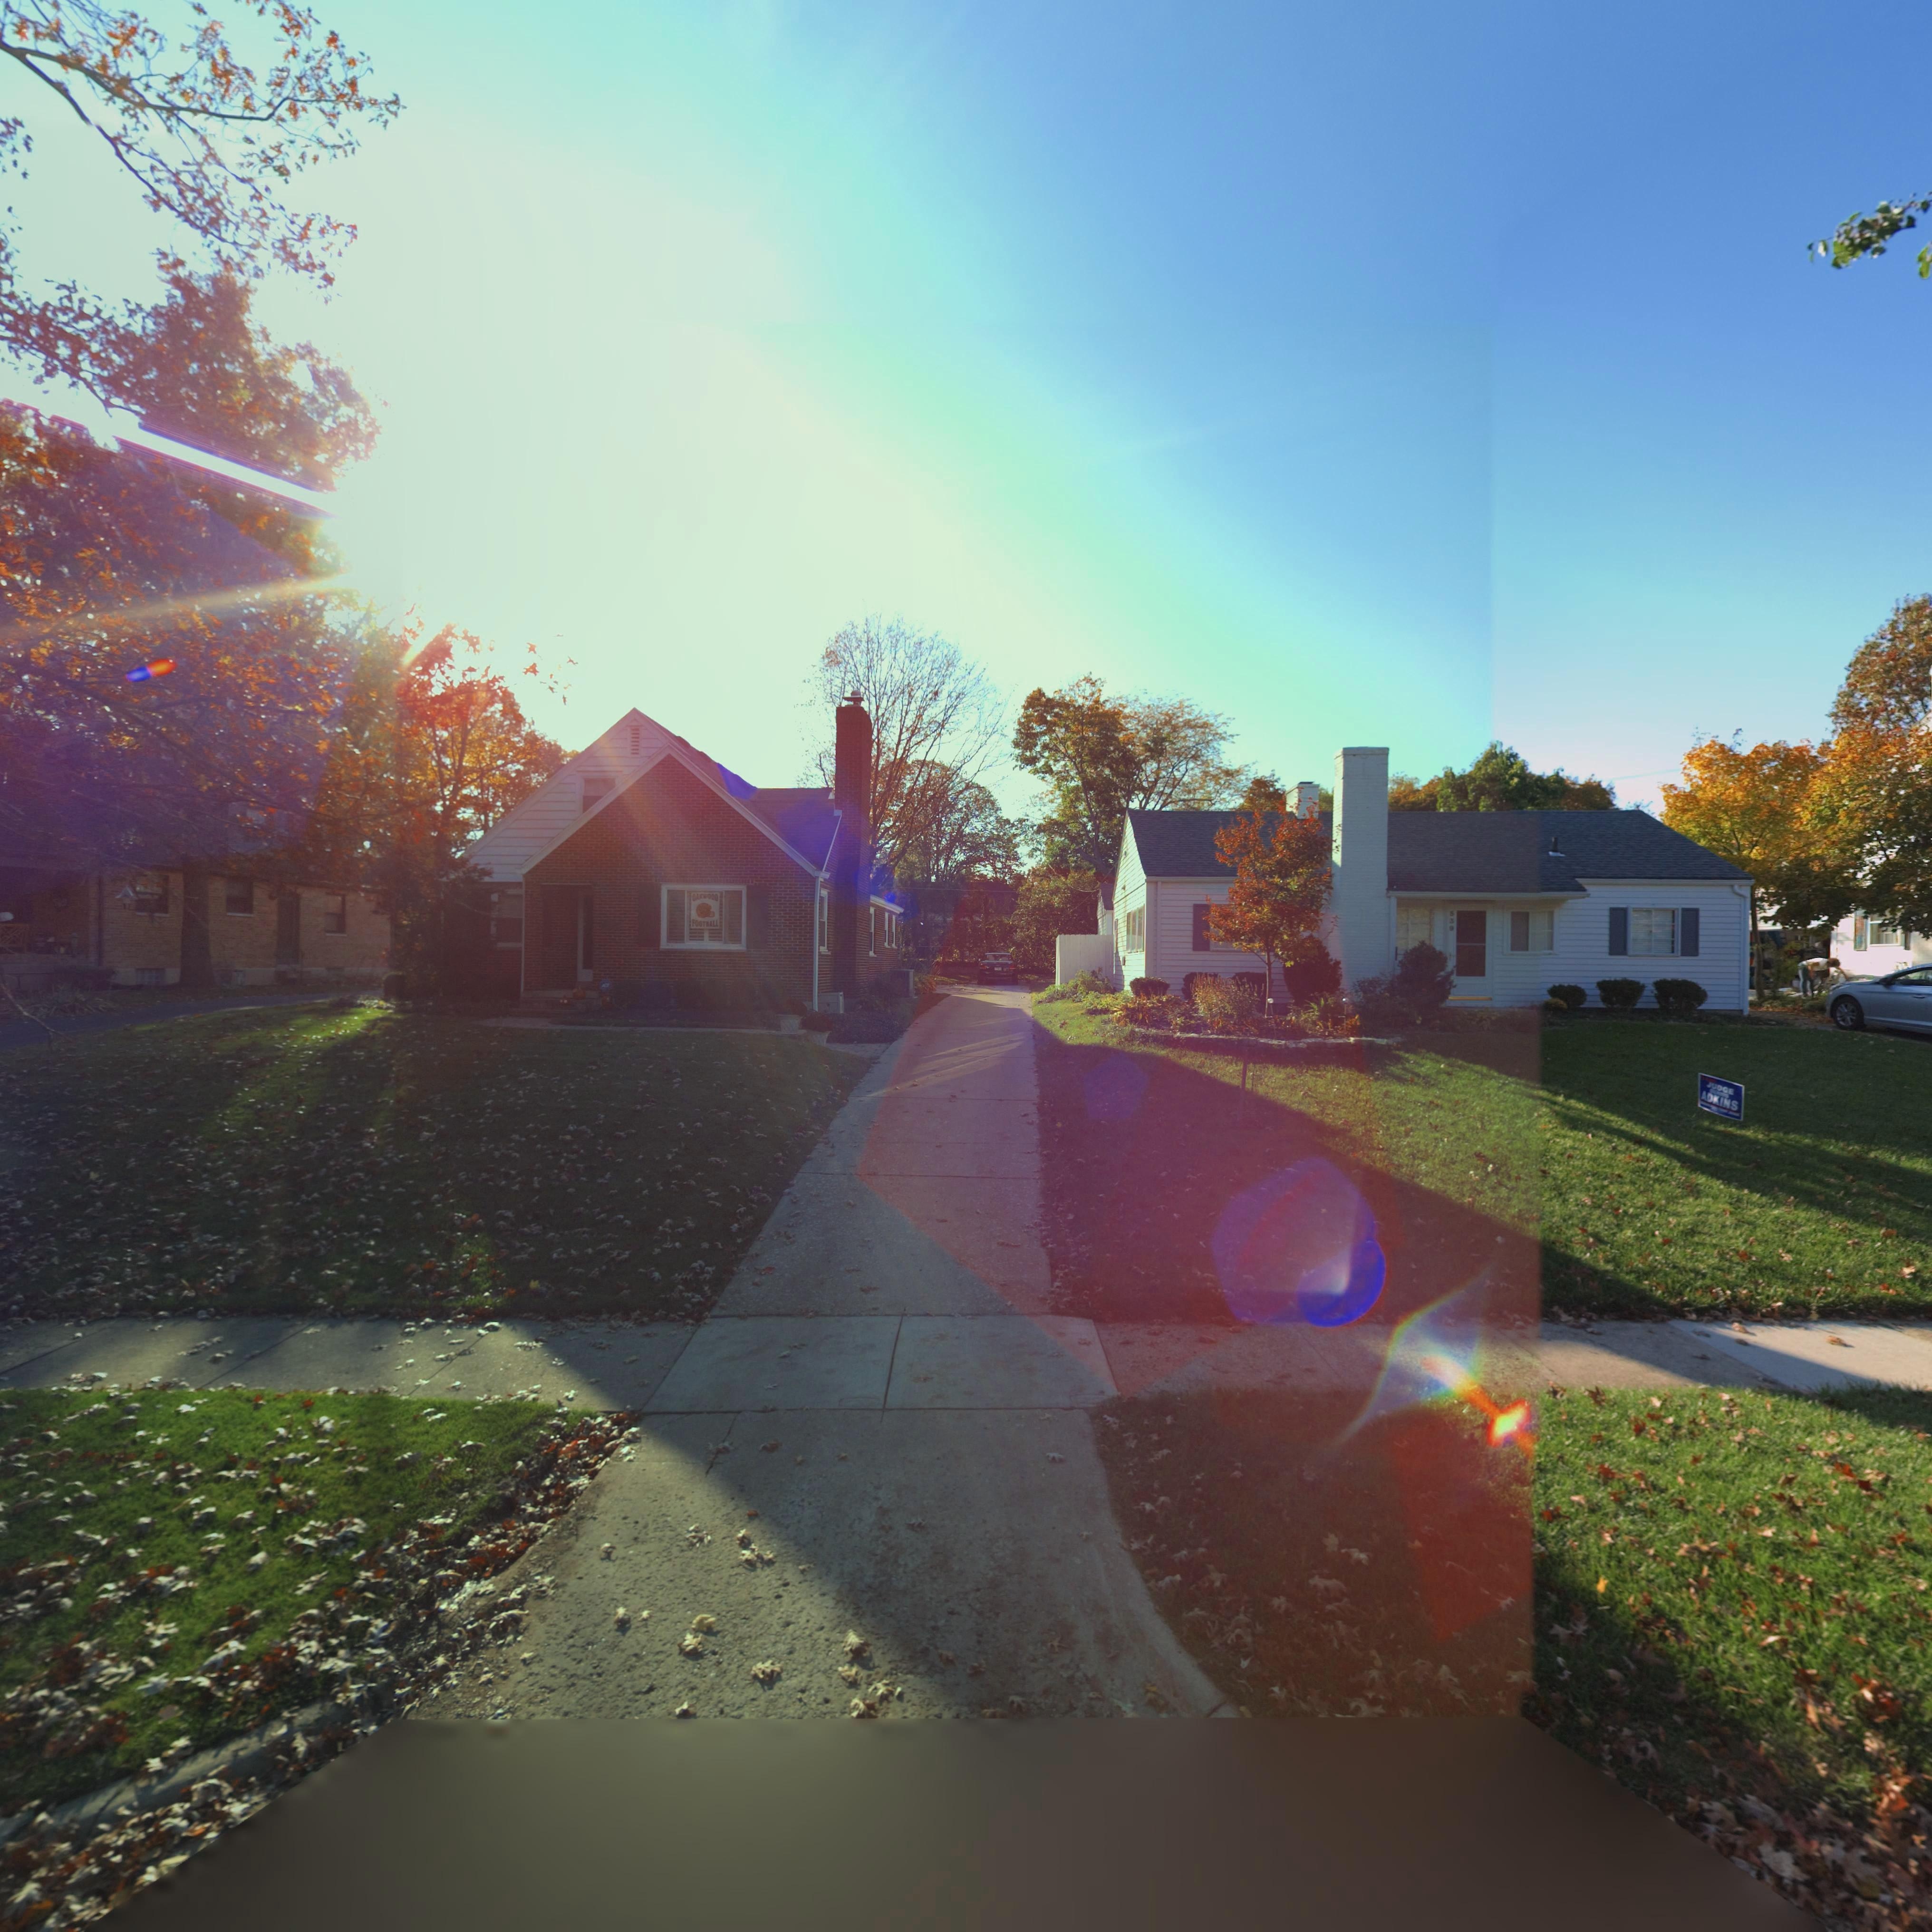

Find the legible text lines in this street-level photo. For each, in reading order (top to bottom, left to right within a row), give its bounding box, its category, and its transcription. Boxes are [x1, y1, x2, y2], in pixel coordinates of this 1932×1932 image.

[1449, 909, 1455, 932] StreetNumber: 539